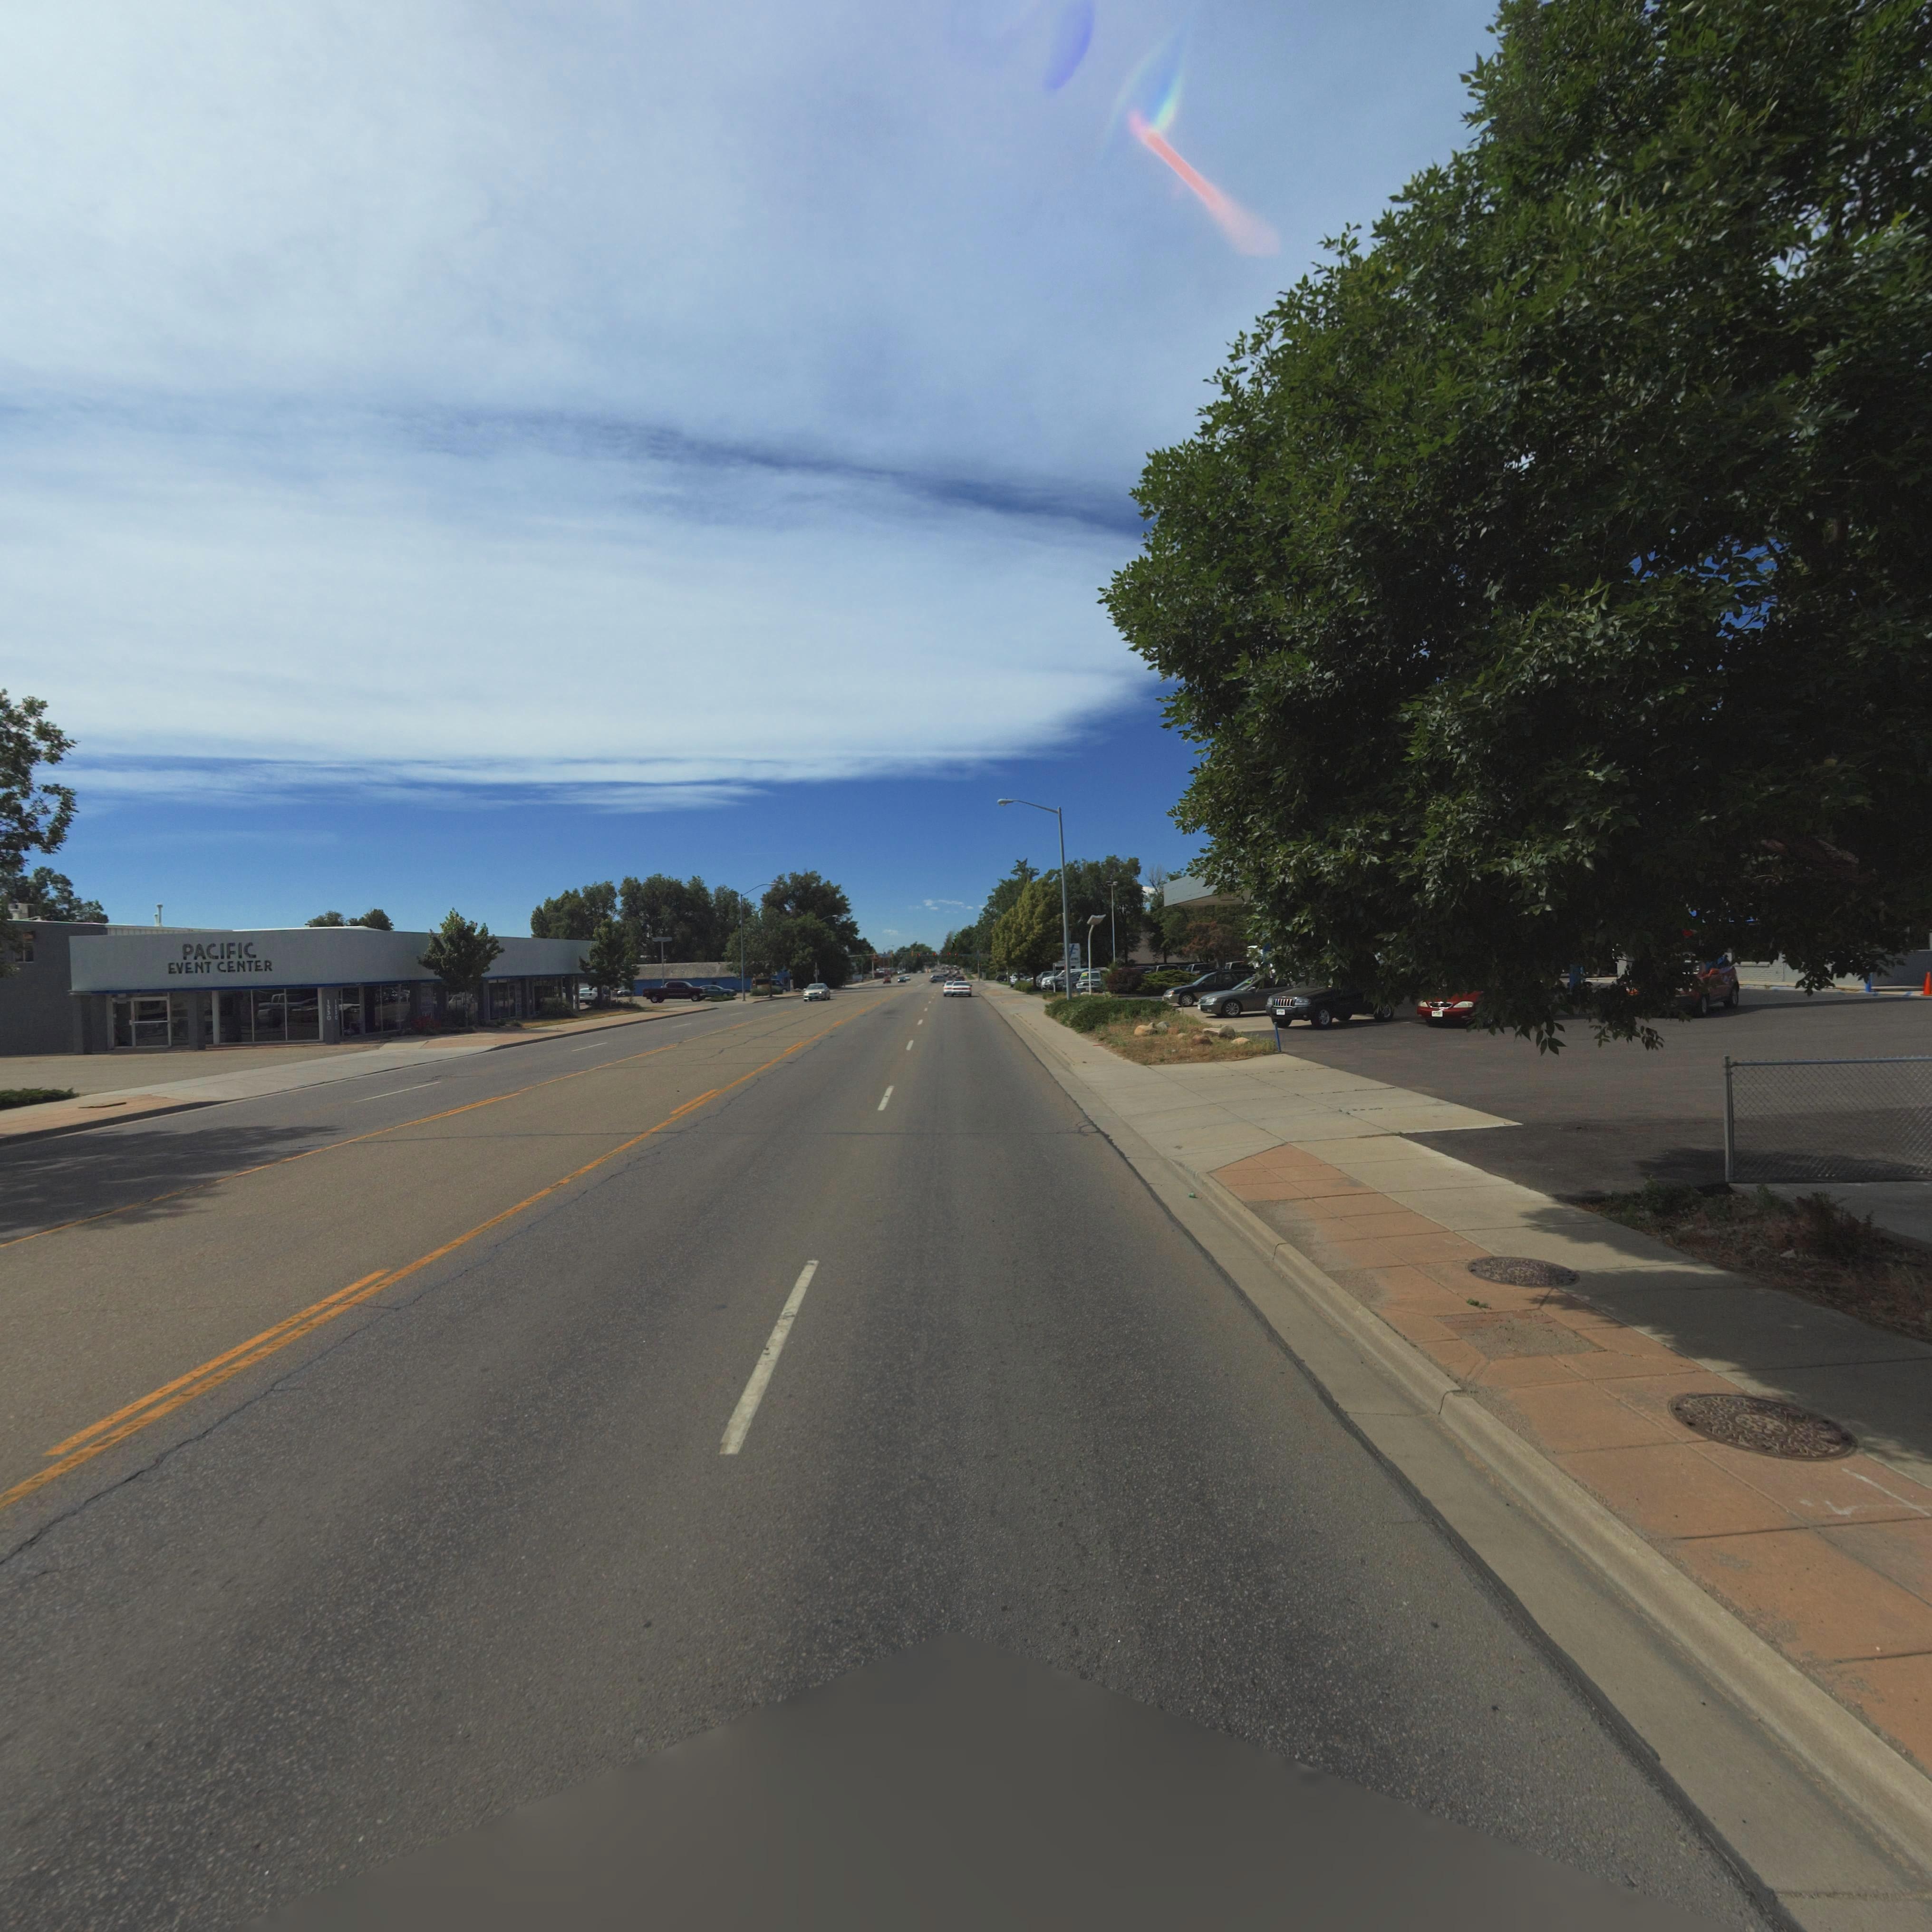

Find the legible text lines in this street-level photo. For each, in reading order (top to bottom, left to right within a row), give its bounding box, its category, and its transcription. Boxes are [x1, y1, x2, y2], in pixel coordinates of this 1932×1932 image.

[182, 941, 257, 960] BusinessName: PACIFIC
[167, 959, 272, 975] BusinessName: EVENT CENTER
[326, 999, 331, 1021] StreetNumber: 1330
[333, 999, 338, 1020] None: 1*30